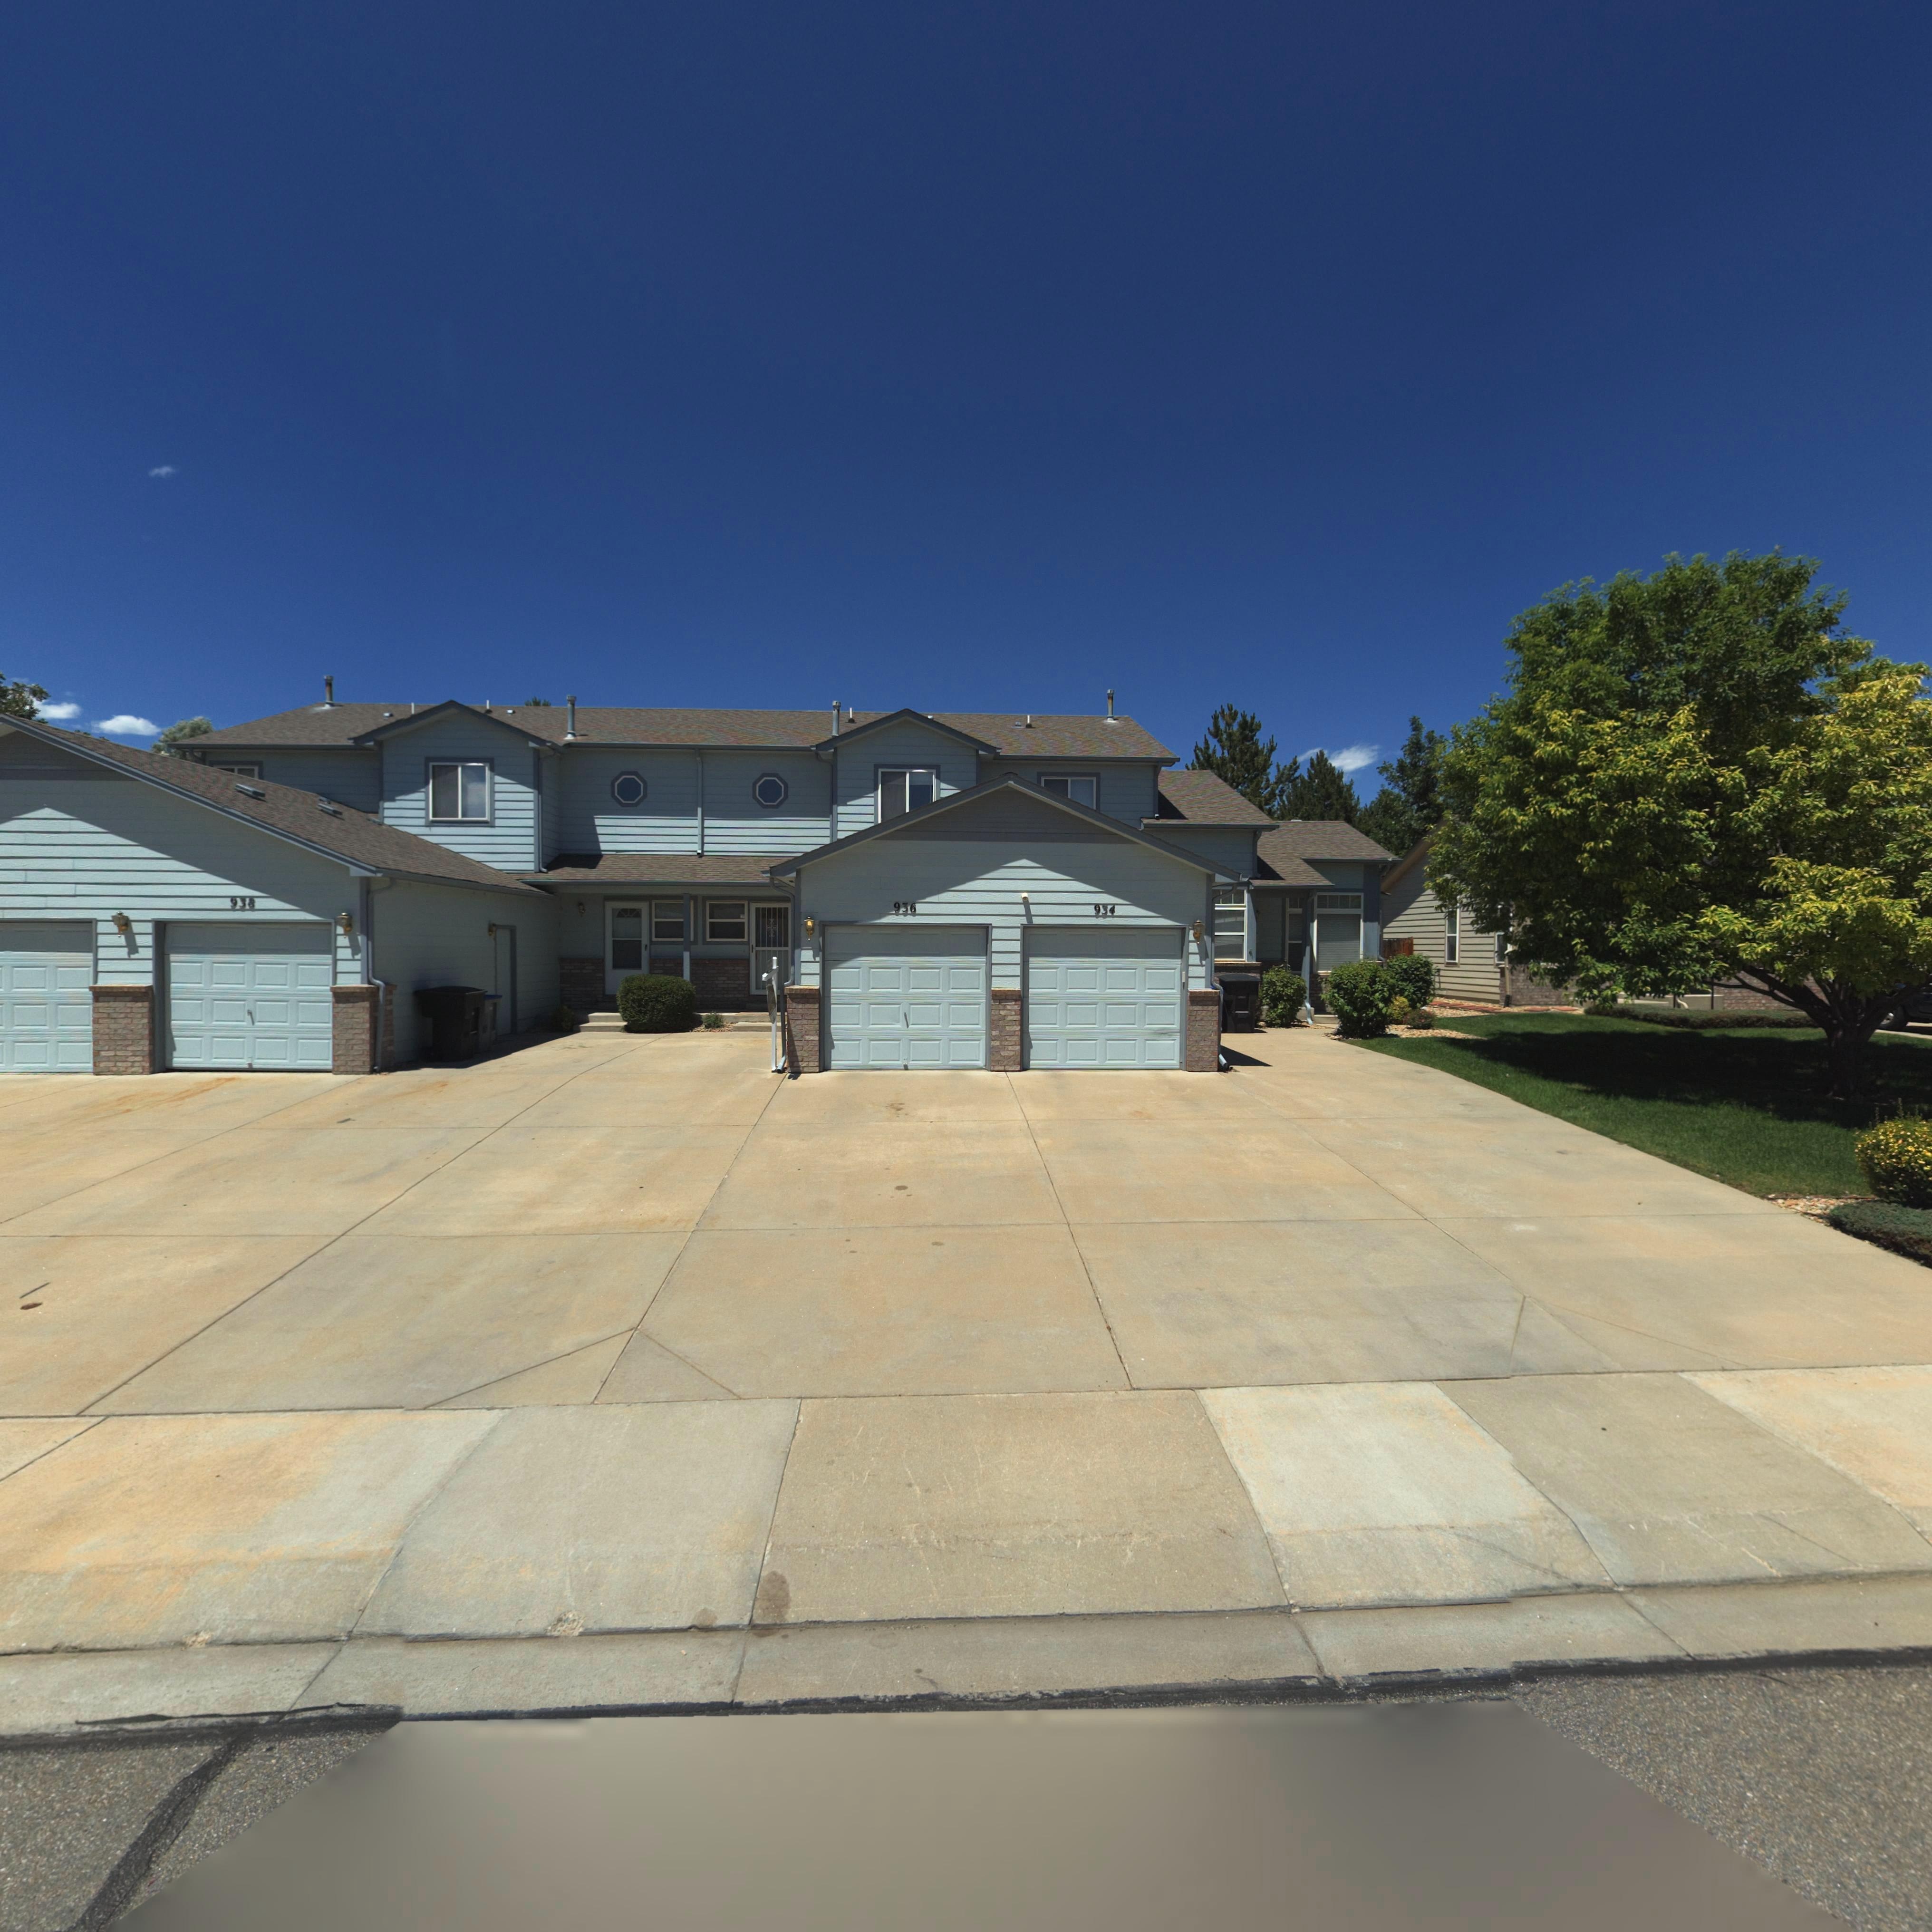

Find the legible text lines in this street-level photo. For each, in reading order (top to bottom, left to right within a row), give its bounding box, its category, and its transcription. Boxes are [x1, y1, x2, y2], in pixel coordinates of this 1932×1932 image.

[230, 897, 256, 908] StreetNumber: 938
[893, 901, 916, 913] StreetNumber: 936
[1094, 903, 1116, 915] StreetNumber: 934